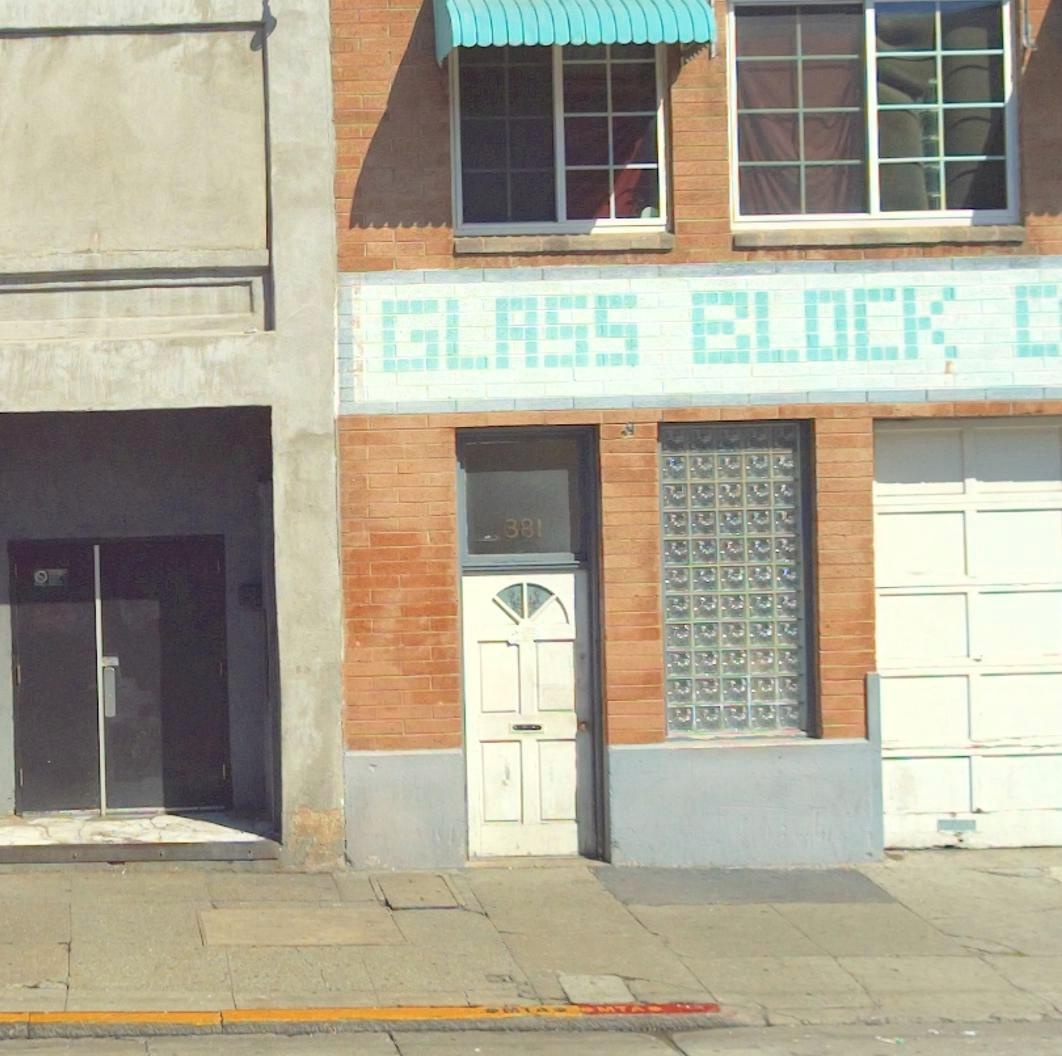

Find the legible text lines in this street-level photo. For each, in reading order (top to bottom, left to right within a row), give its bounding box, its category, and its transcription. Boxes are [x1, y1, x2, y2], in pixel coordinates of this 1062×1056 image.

[374, 281, 962, 378] BusinessName: GLASS BLOCK
[501, 515, 546, 543] StreetNumber: 381
[497, 1003, 555, 1018] None: MTA
[591, 1001, 651, 1016] None: MTA